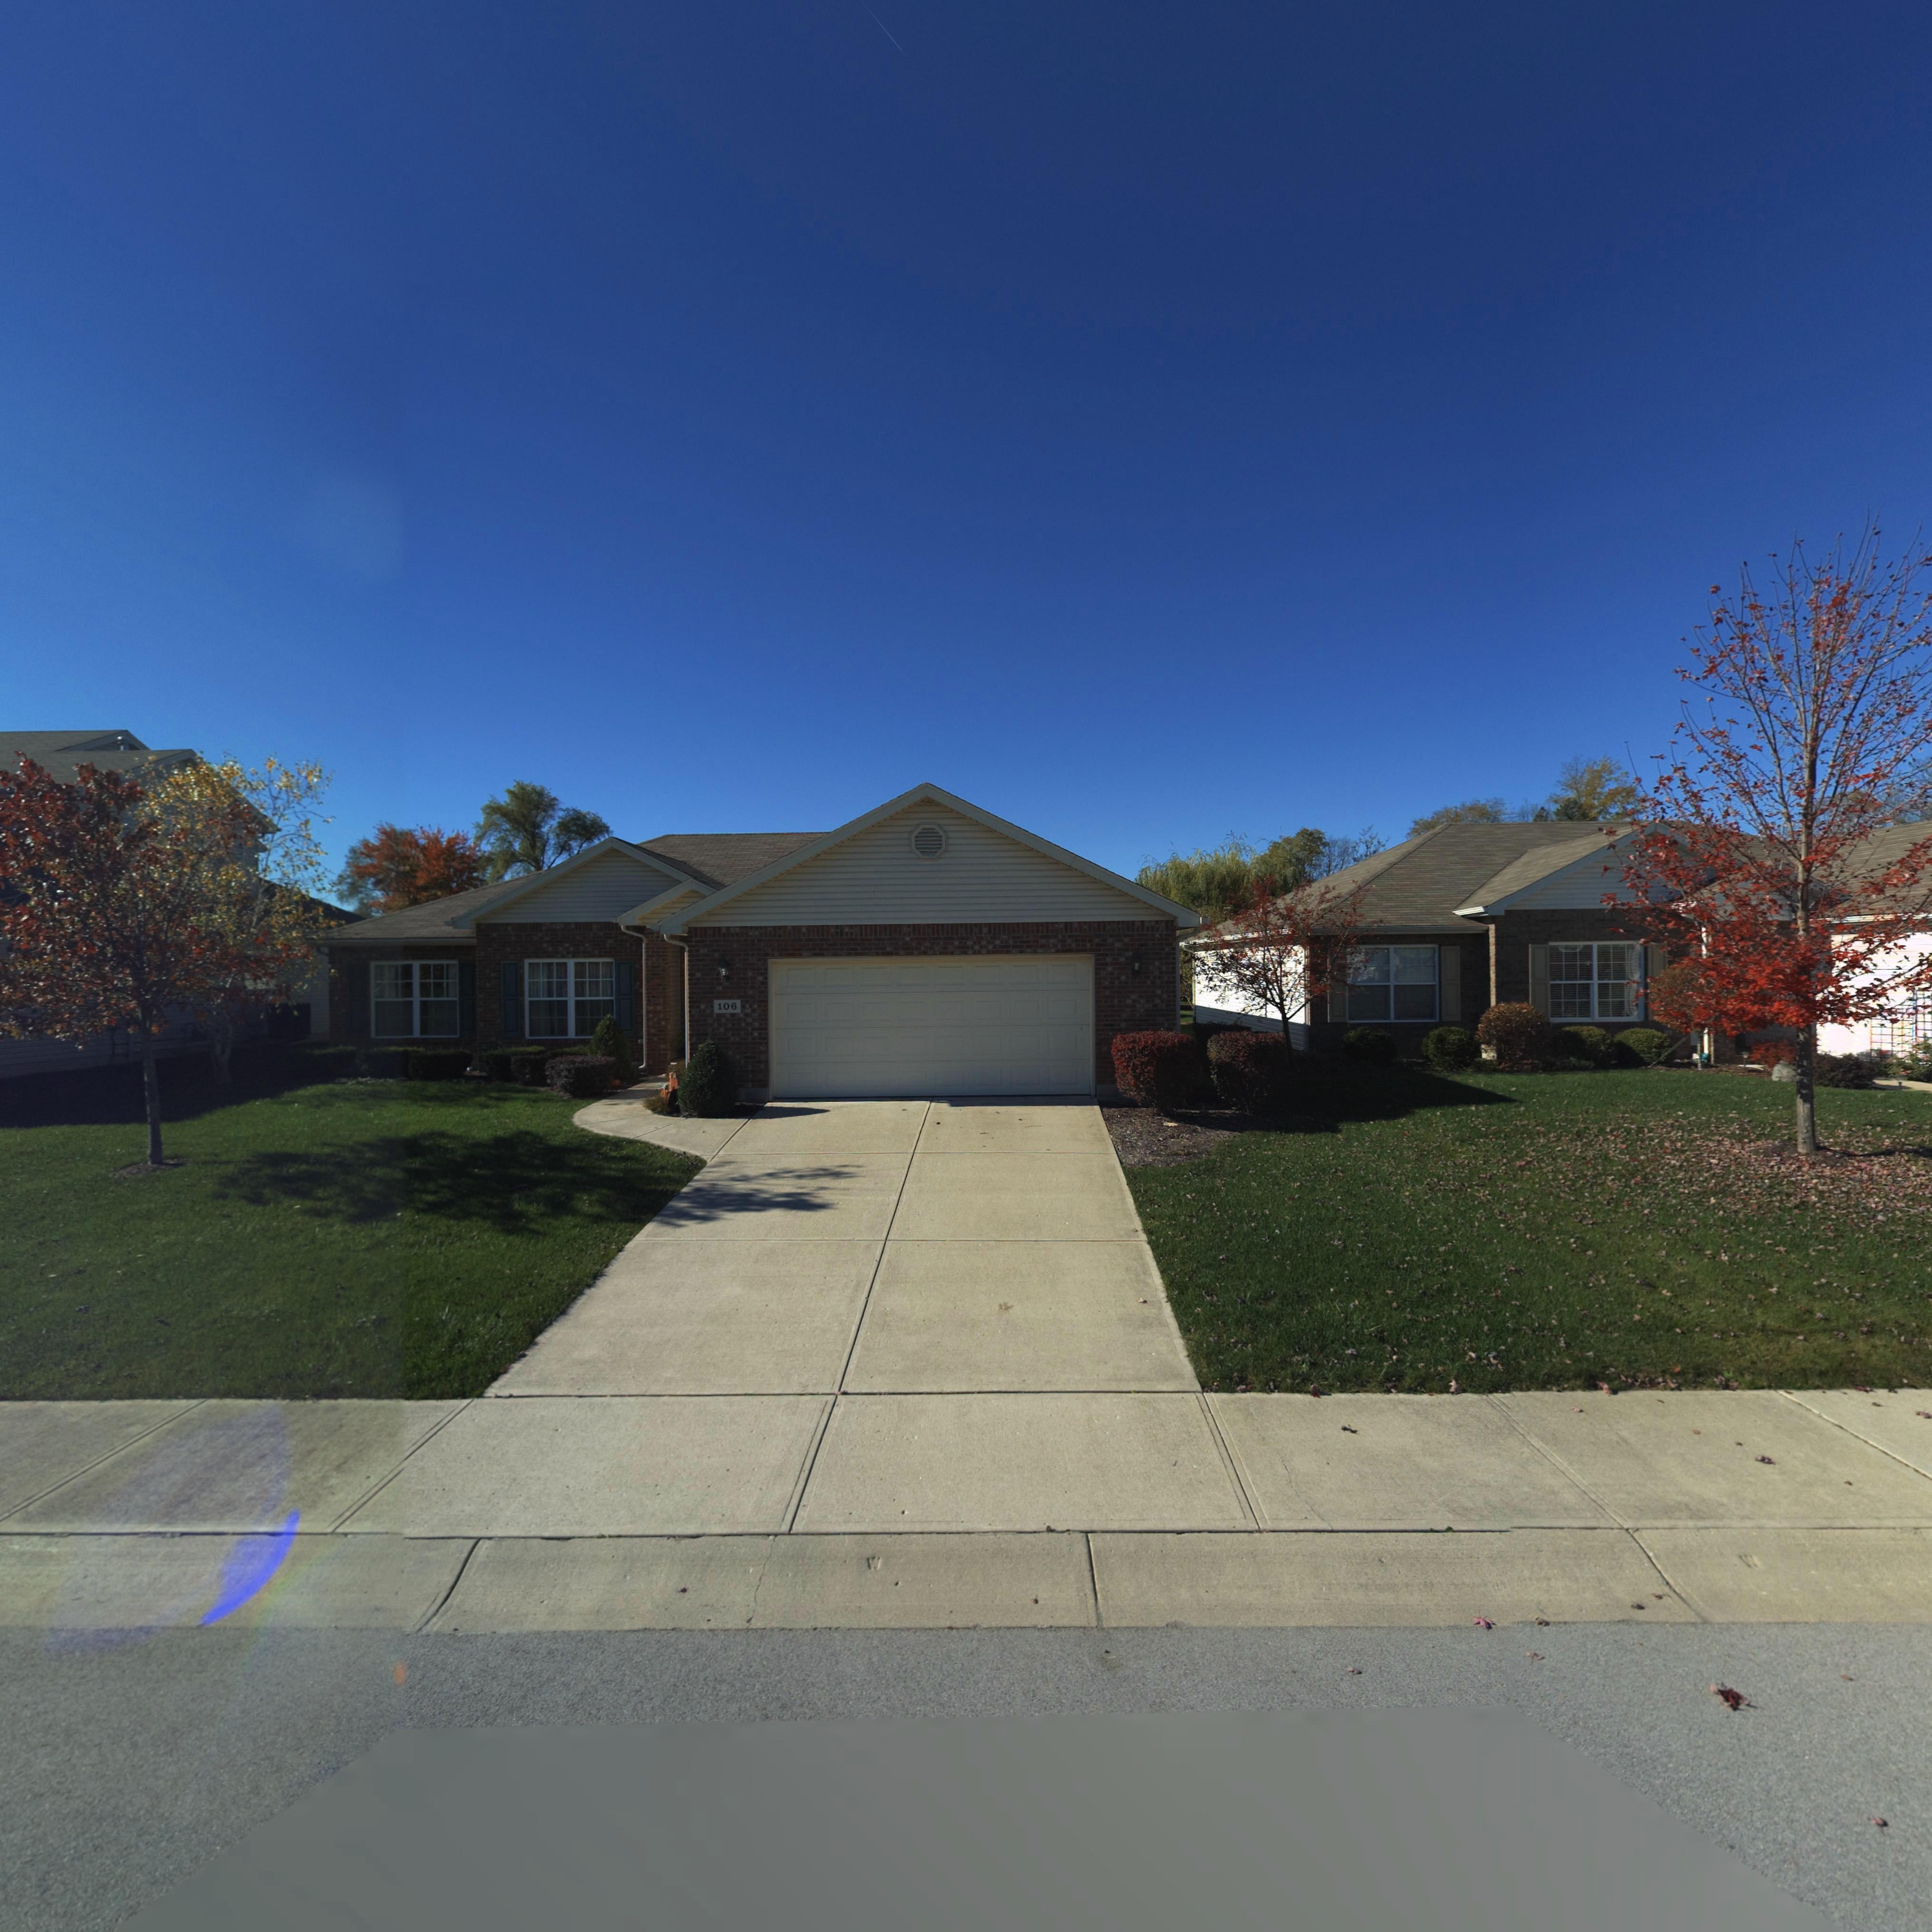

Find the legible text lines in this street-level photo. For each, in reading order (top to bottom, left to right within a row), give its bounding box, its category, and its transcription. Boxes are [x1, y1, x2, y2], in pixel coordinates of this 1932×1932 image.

[717, 1002, 737, 1011] StreetNumber: 106